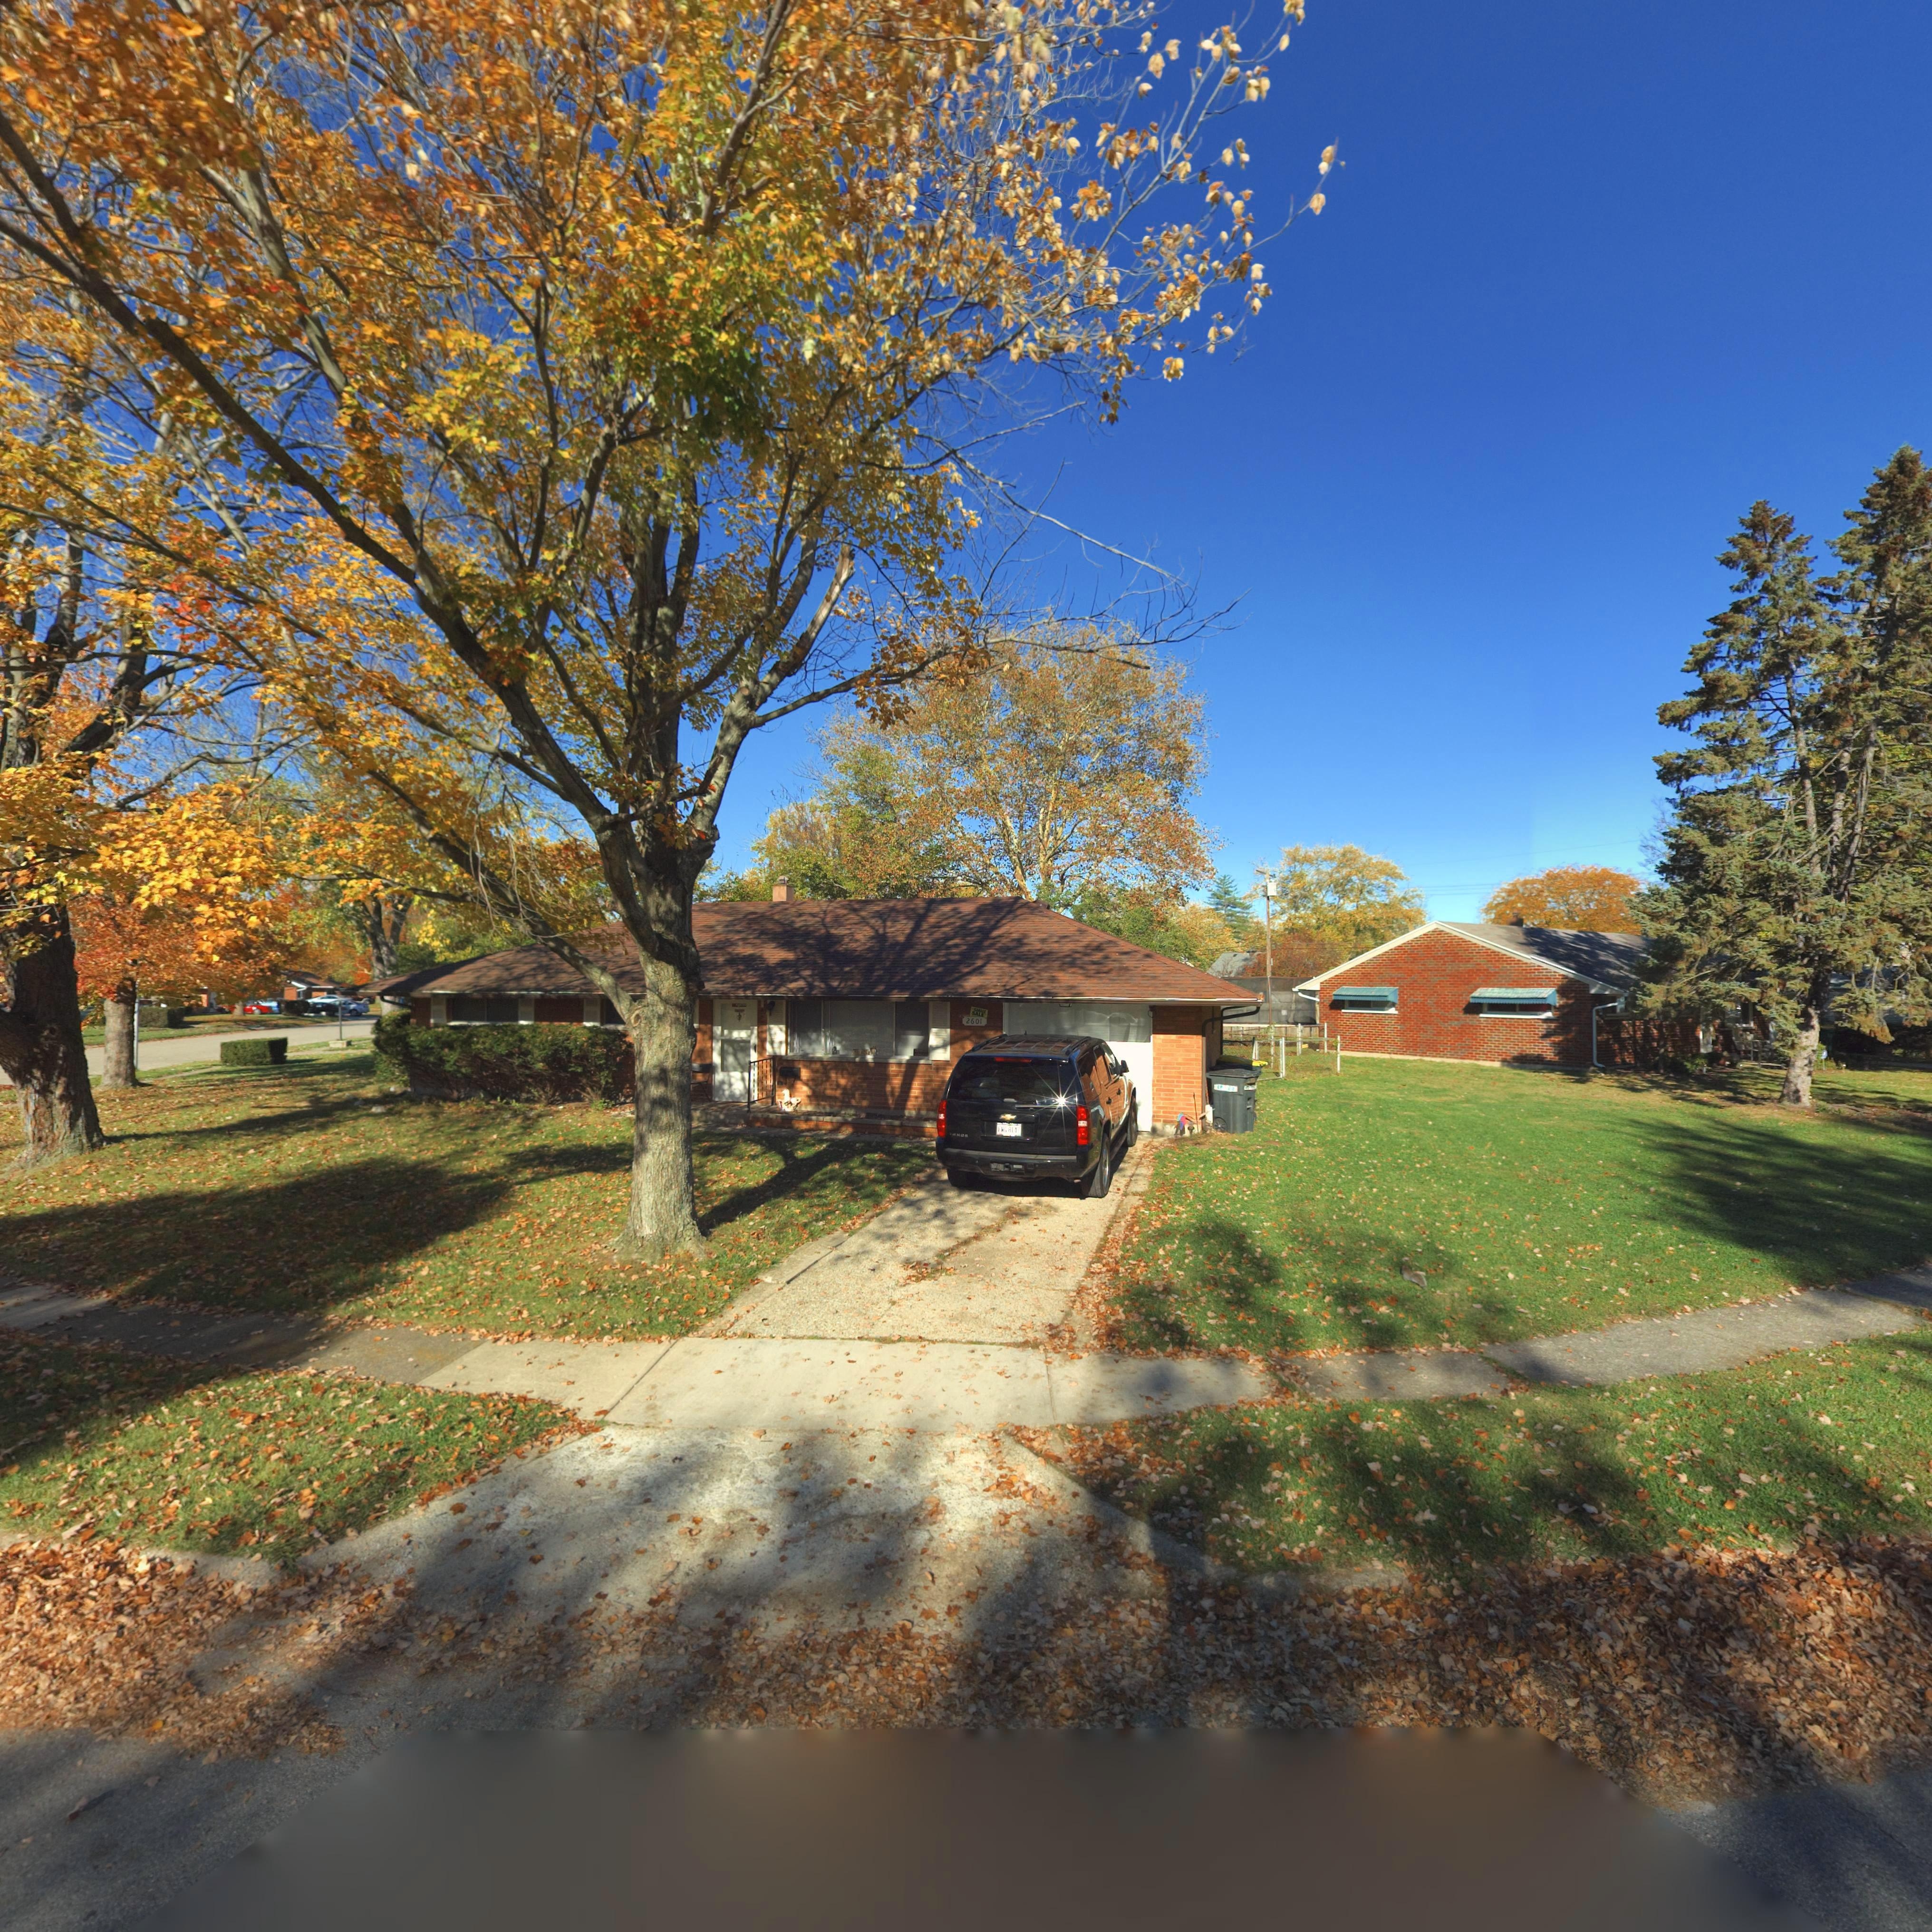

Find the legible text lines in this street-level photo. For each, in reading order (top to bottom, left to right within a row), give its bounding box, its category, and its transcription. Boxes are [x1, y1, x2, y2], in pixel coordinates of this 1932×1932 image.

[965, 1017, 983, 1025] StreetNumber: 2601